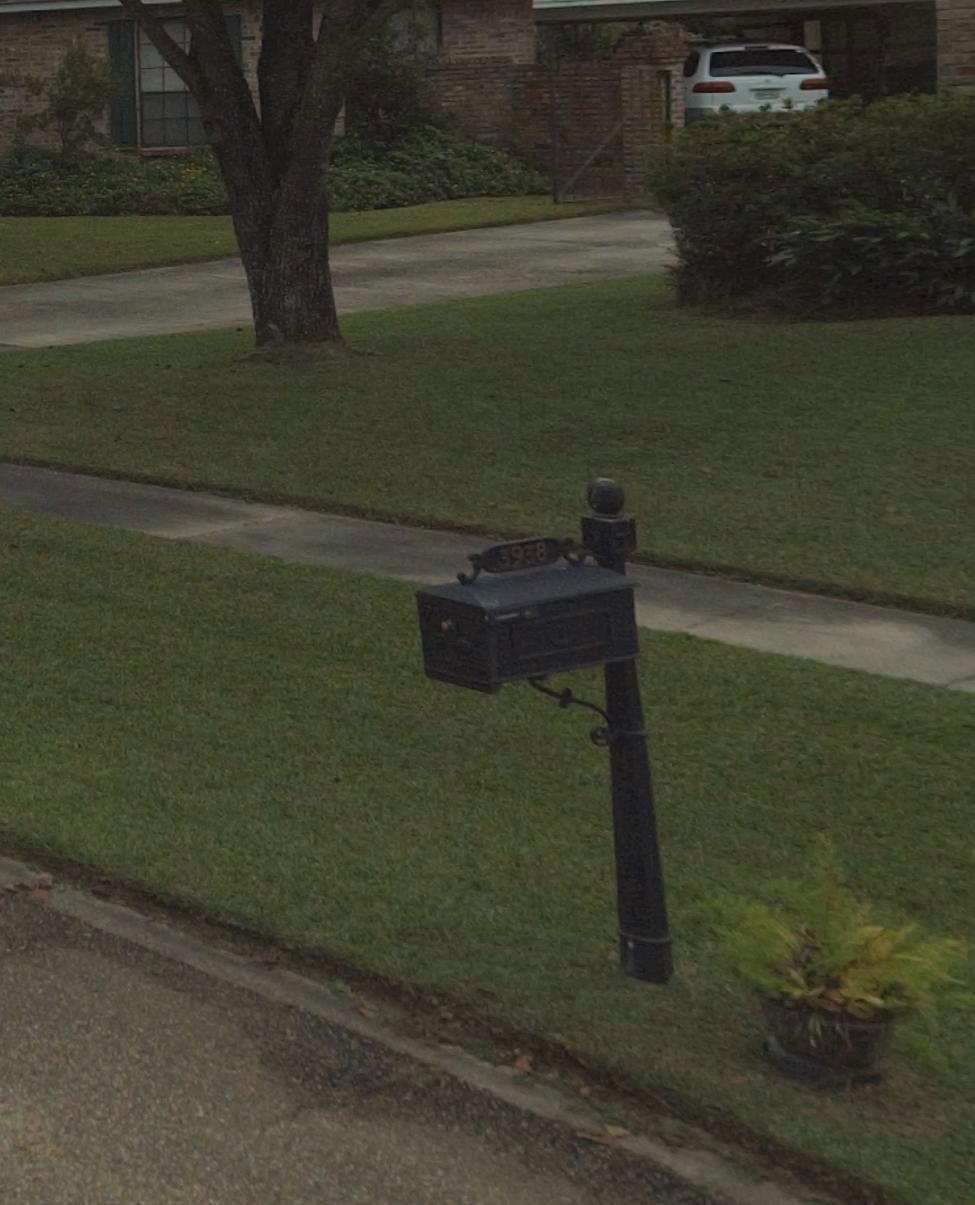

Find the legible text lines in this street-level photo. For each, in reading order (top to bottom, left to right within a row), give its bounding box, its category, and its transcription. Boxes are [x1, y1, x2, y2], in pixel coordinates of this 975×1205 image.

[497, 540, 549, 571] StreetNumber: 3938